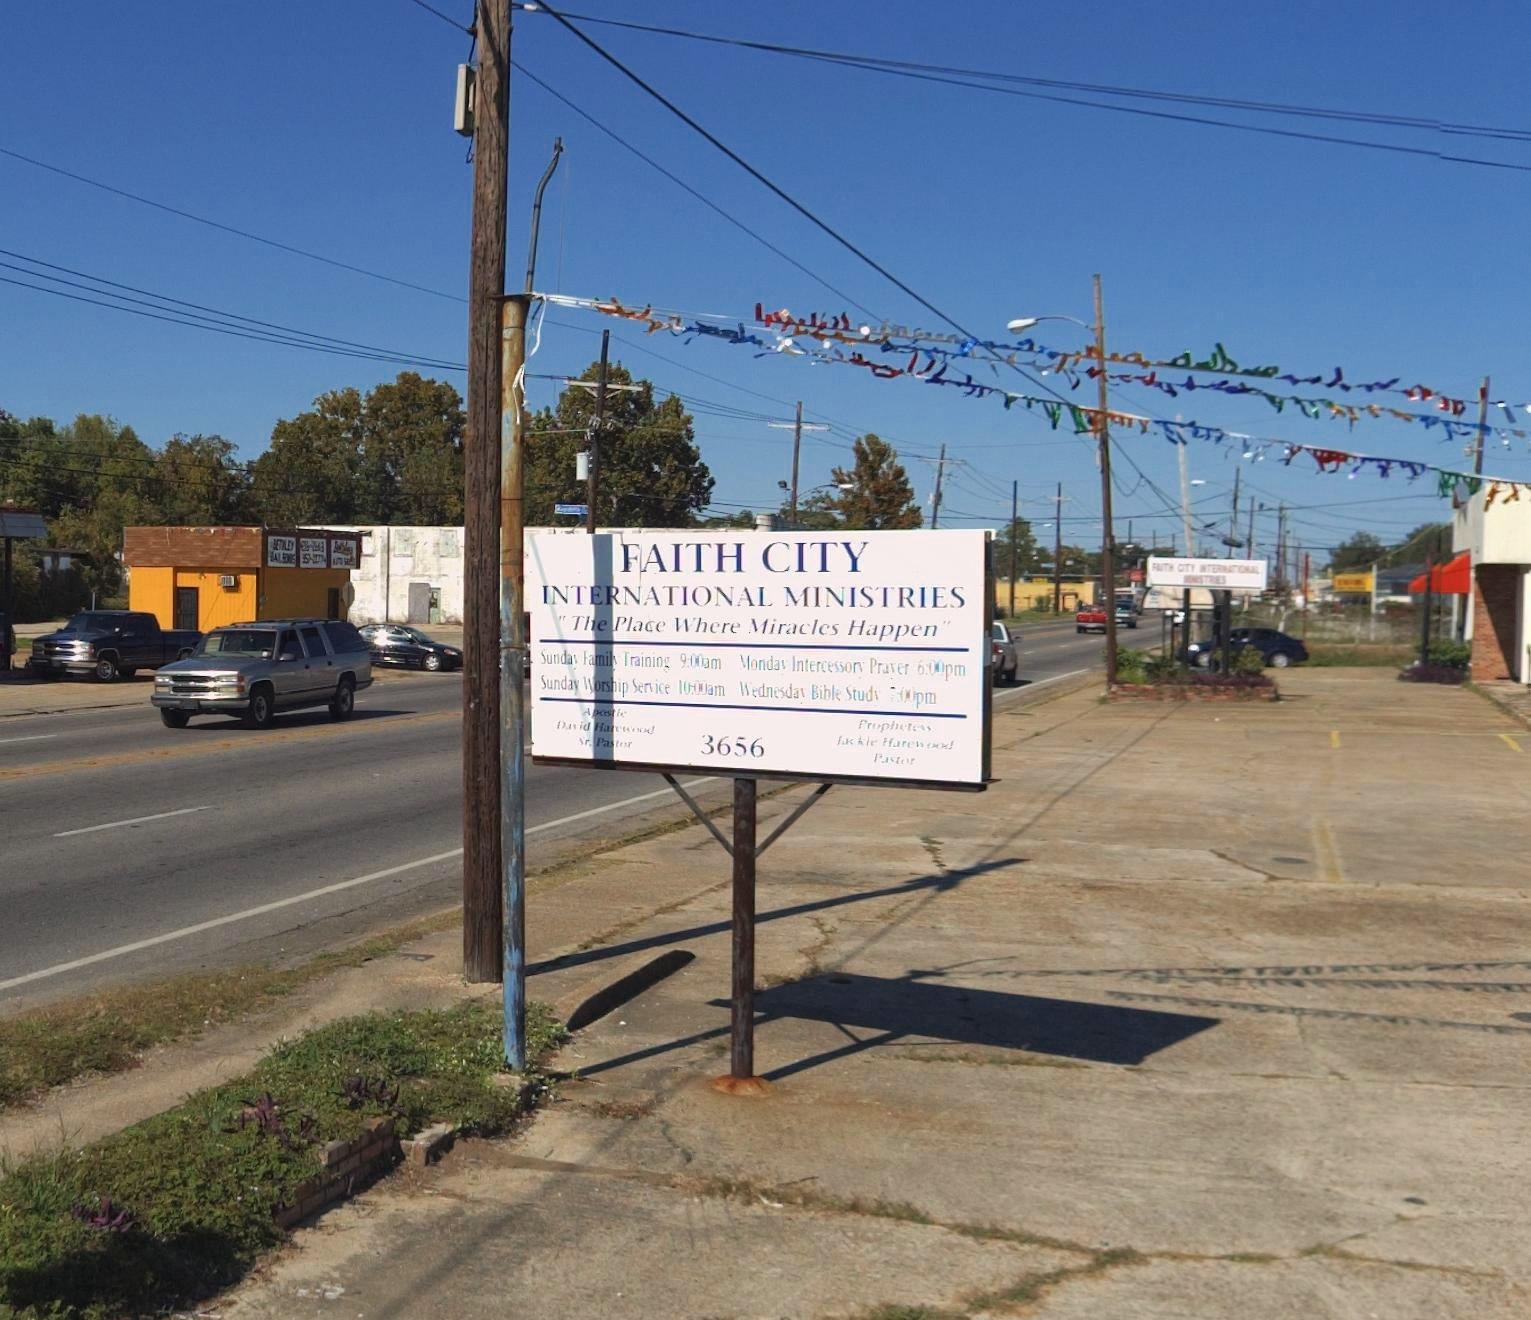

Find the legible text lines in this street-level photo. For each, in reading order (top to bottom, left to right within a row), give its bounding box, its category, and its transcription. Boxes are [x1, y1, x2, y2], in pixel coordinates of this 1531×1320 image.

[615, 536, 878, 577] BusinessName: FAITH CITY
[1150, 561, 1261, 577] None: FAITH CITY INTERNATIONAL
[540, 583, 972, 611] BusinessName: INTERNATIONAL MINISTRIES
[565, 612, 941, 644] None: The Place Where Miracles Happen
[537, 645, 969, 684] None: Sunday Family Training 9:00am Monday Intercessory Prayer 6:00pm
[539, 672, 941, 712] None: Sunday Worship Service 10:00am Wednesday Bible Study 7:00pm
[694, 729, 769, 761] StreetNumber: 3656
[570, 732, 923, 769] None: Sr. Pastor Pastor
[551, 717, 959, 756] None: David Harewood Jackie Harewood
[579, 705, 936, 735] None: Apostle Prophete**